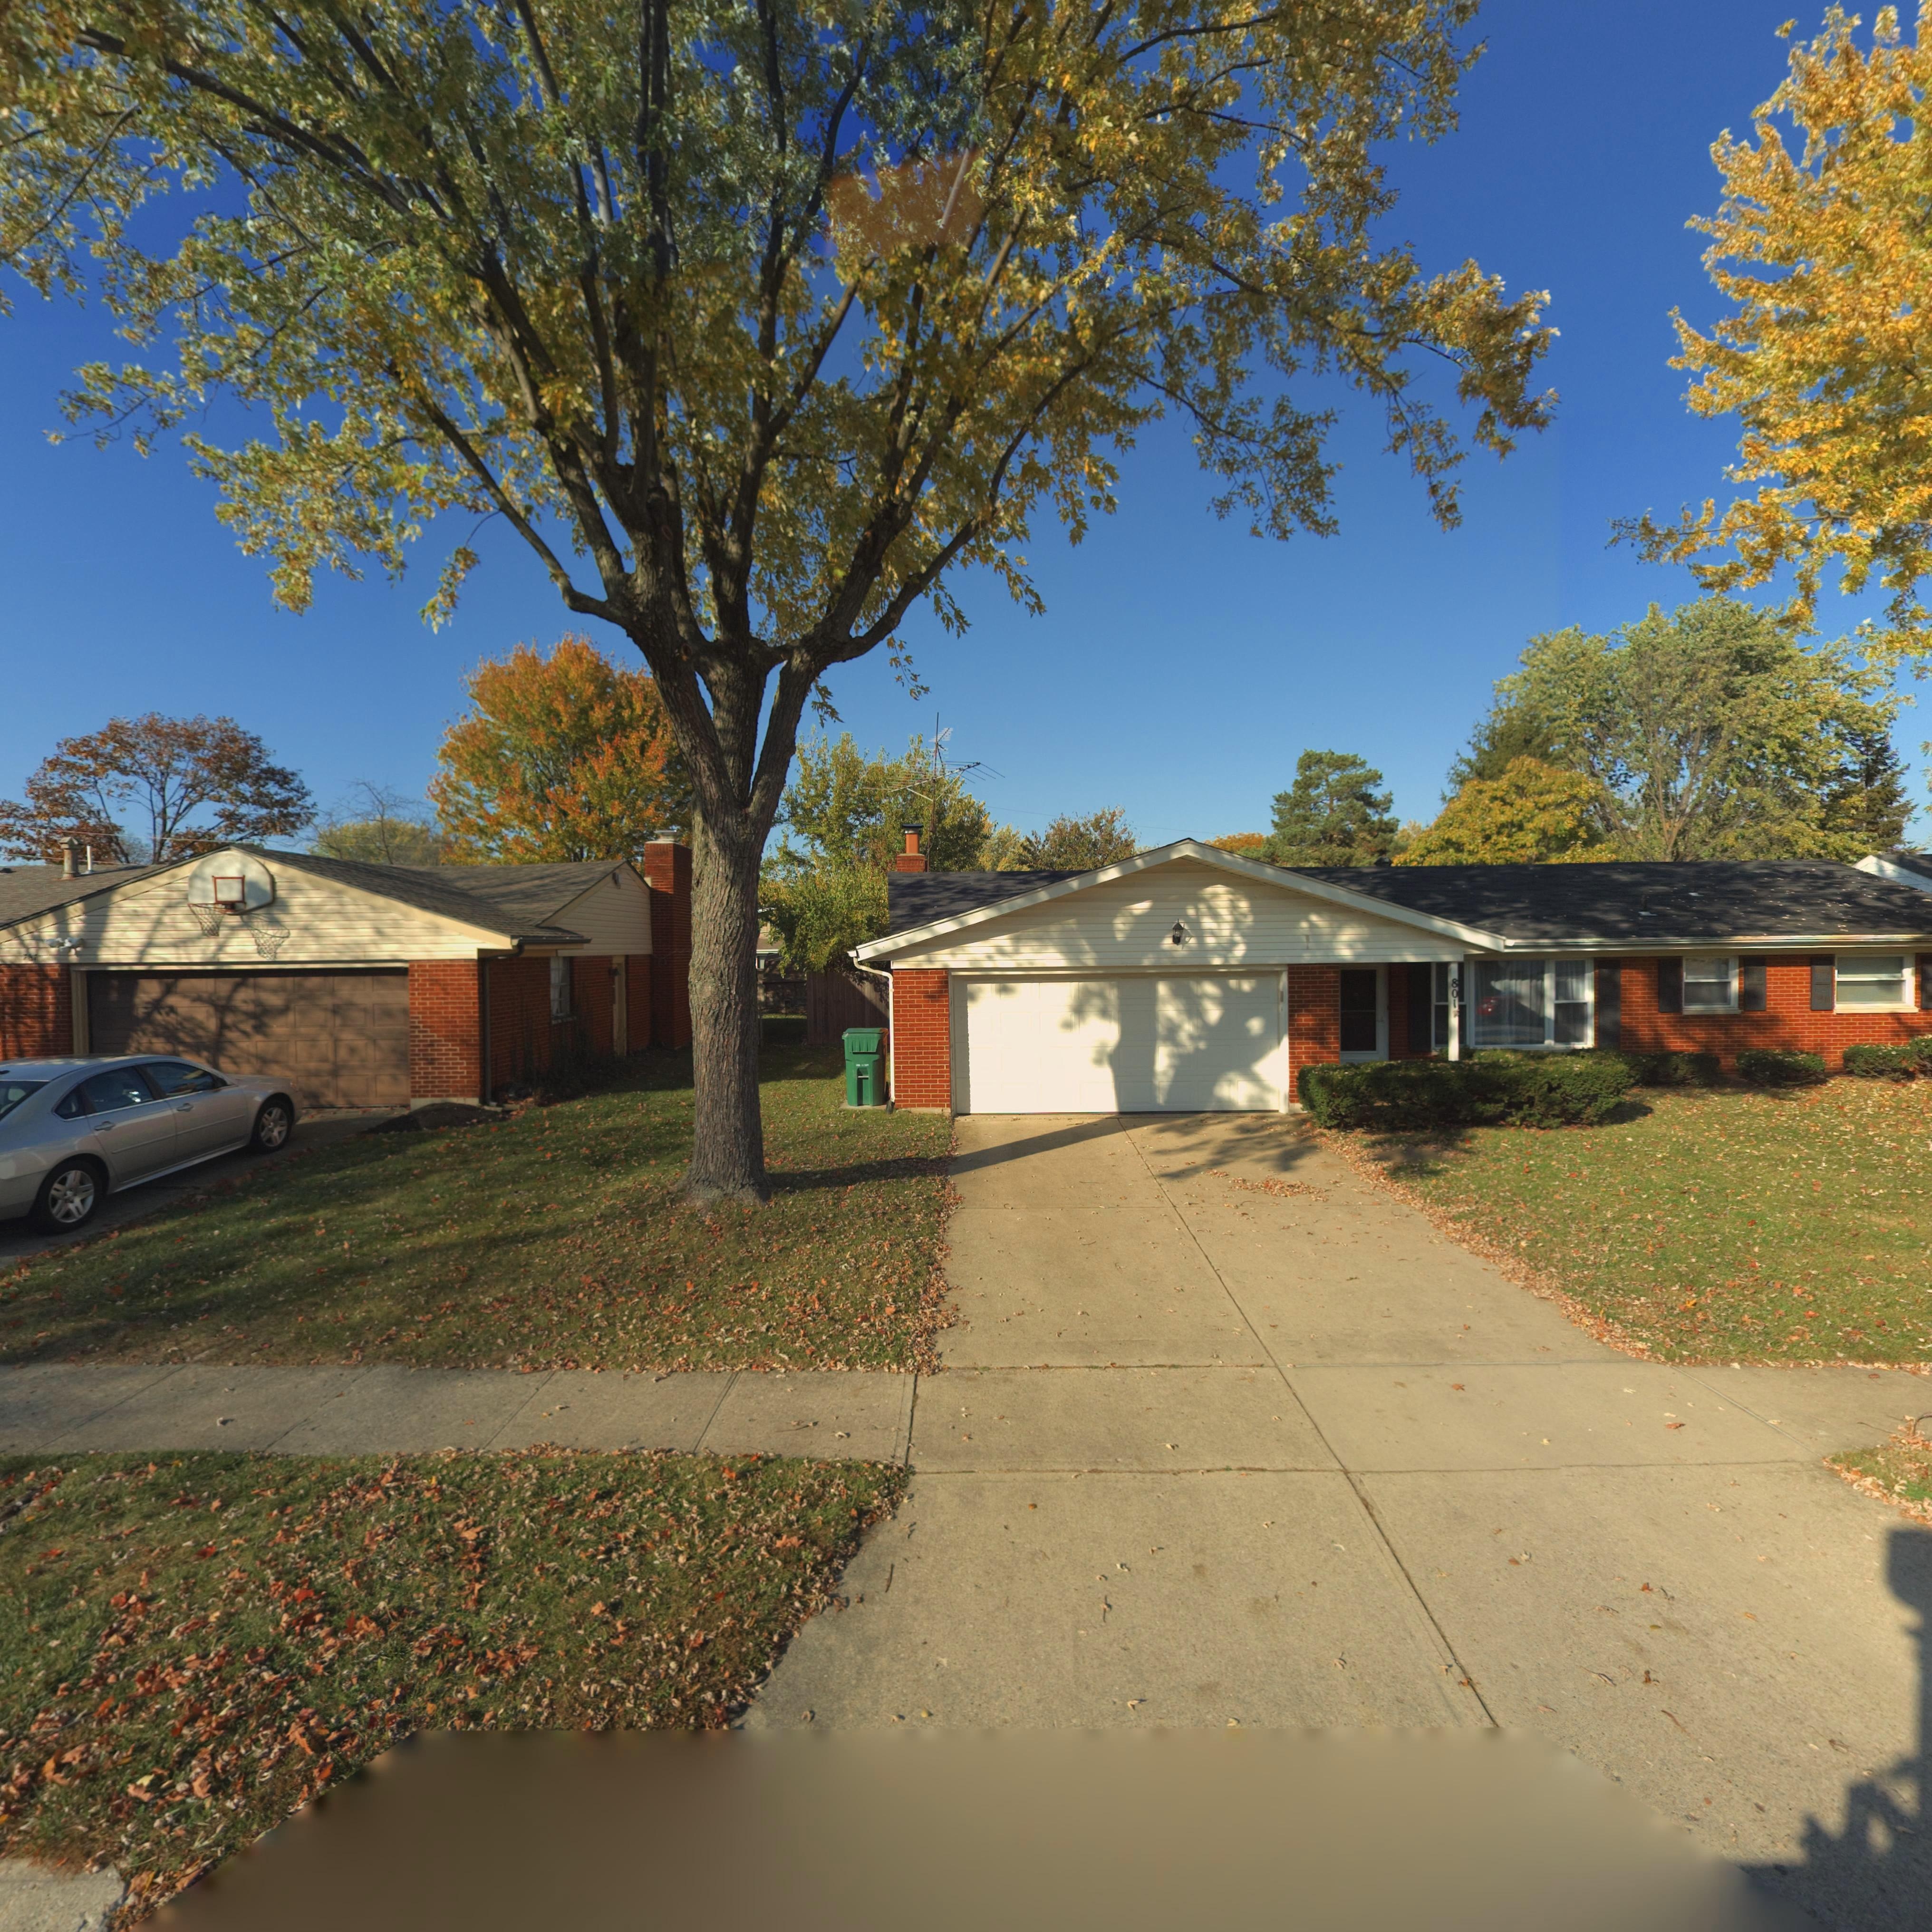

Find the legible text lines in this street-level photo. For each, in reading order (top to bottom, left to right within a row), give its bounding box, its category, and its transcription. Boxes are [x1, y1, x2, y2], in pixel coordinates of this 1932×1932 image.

[1450, 977, 1458, 1009] StreetNumber: 801